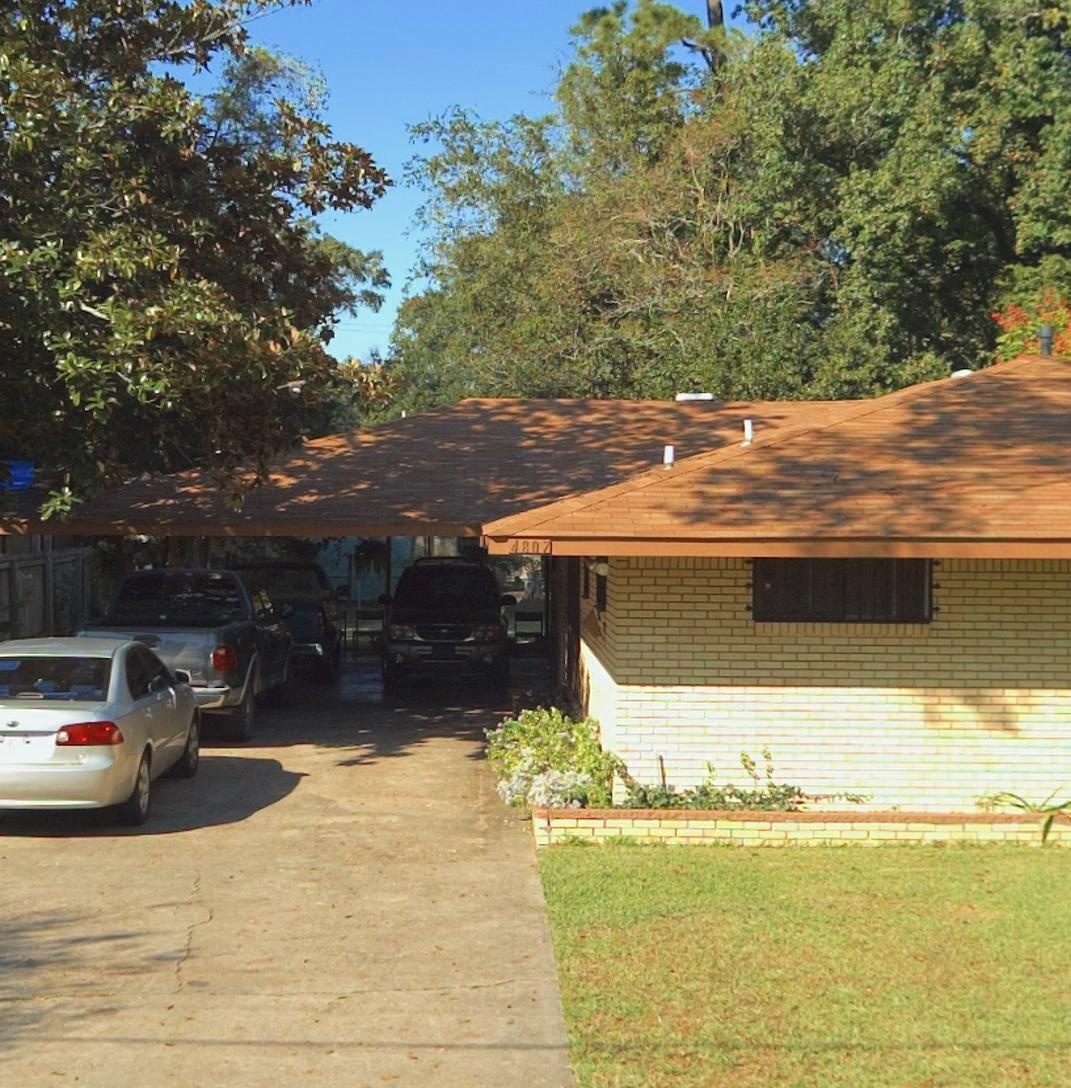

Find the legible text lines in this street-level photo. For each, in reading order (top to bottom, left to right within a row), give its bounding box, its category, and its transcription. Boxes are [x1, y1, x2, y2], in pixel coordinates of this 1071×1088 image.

[510, 539, 551, 554] StreetNumber: 4807